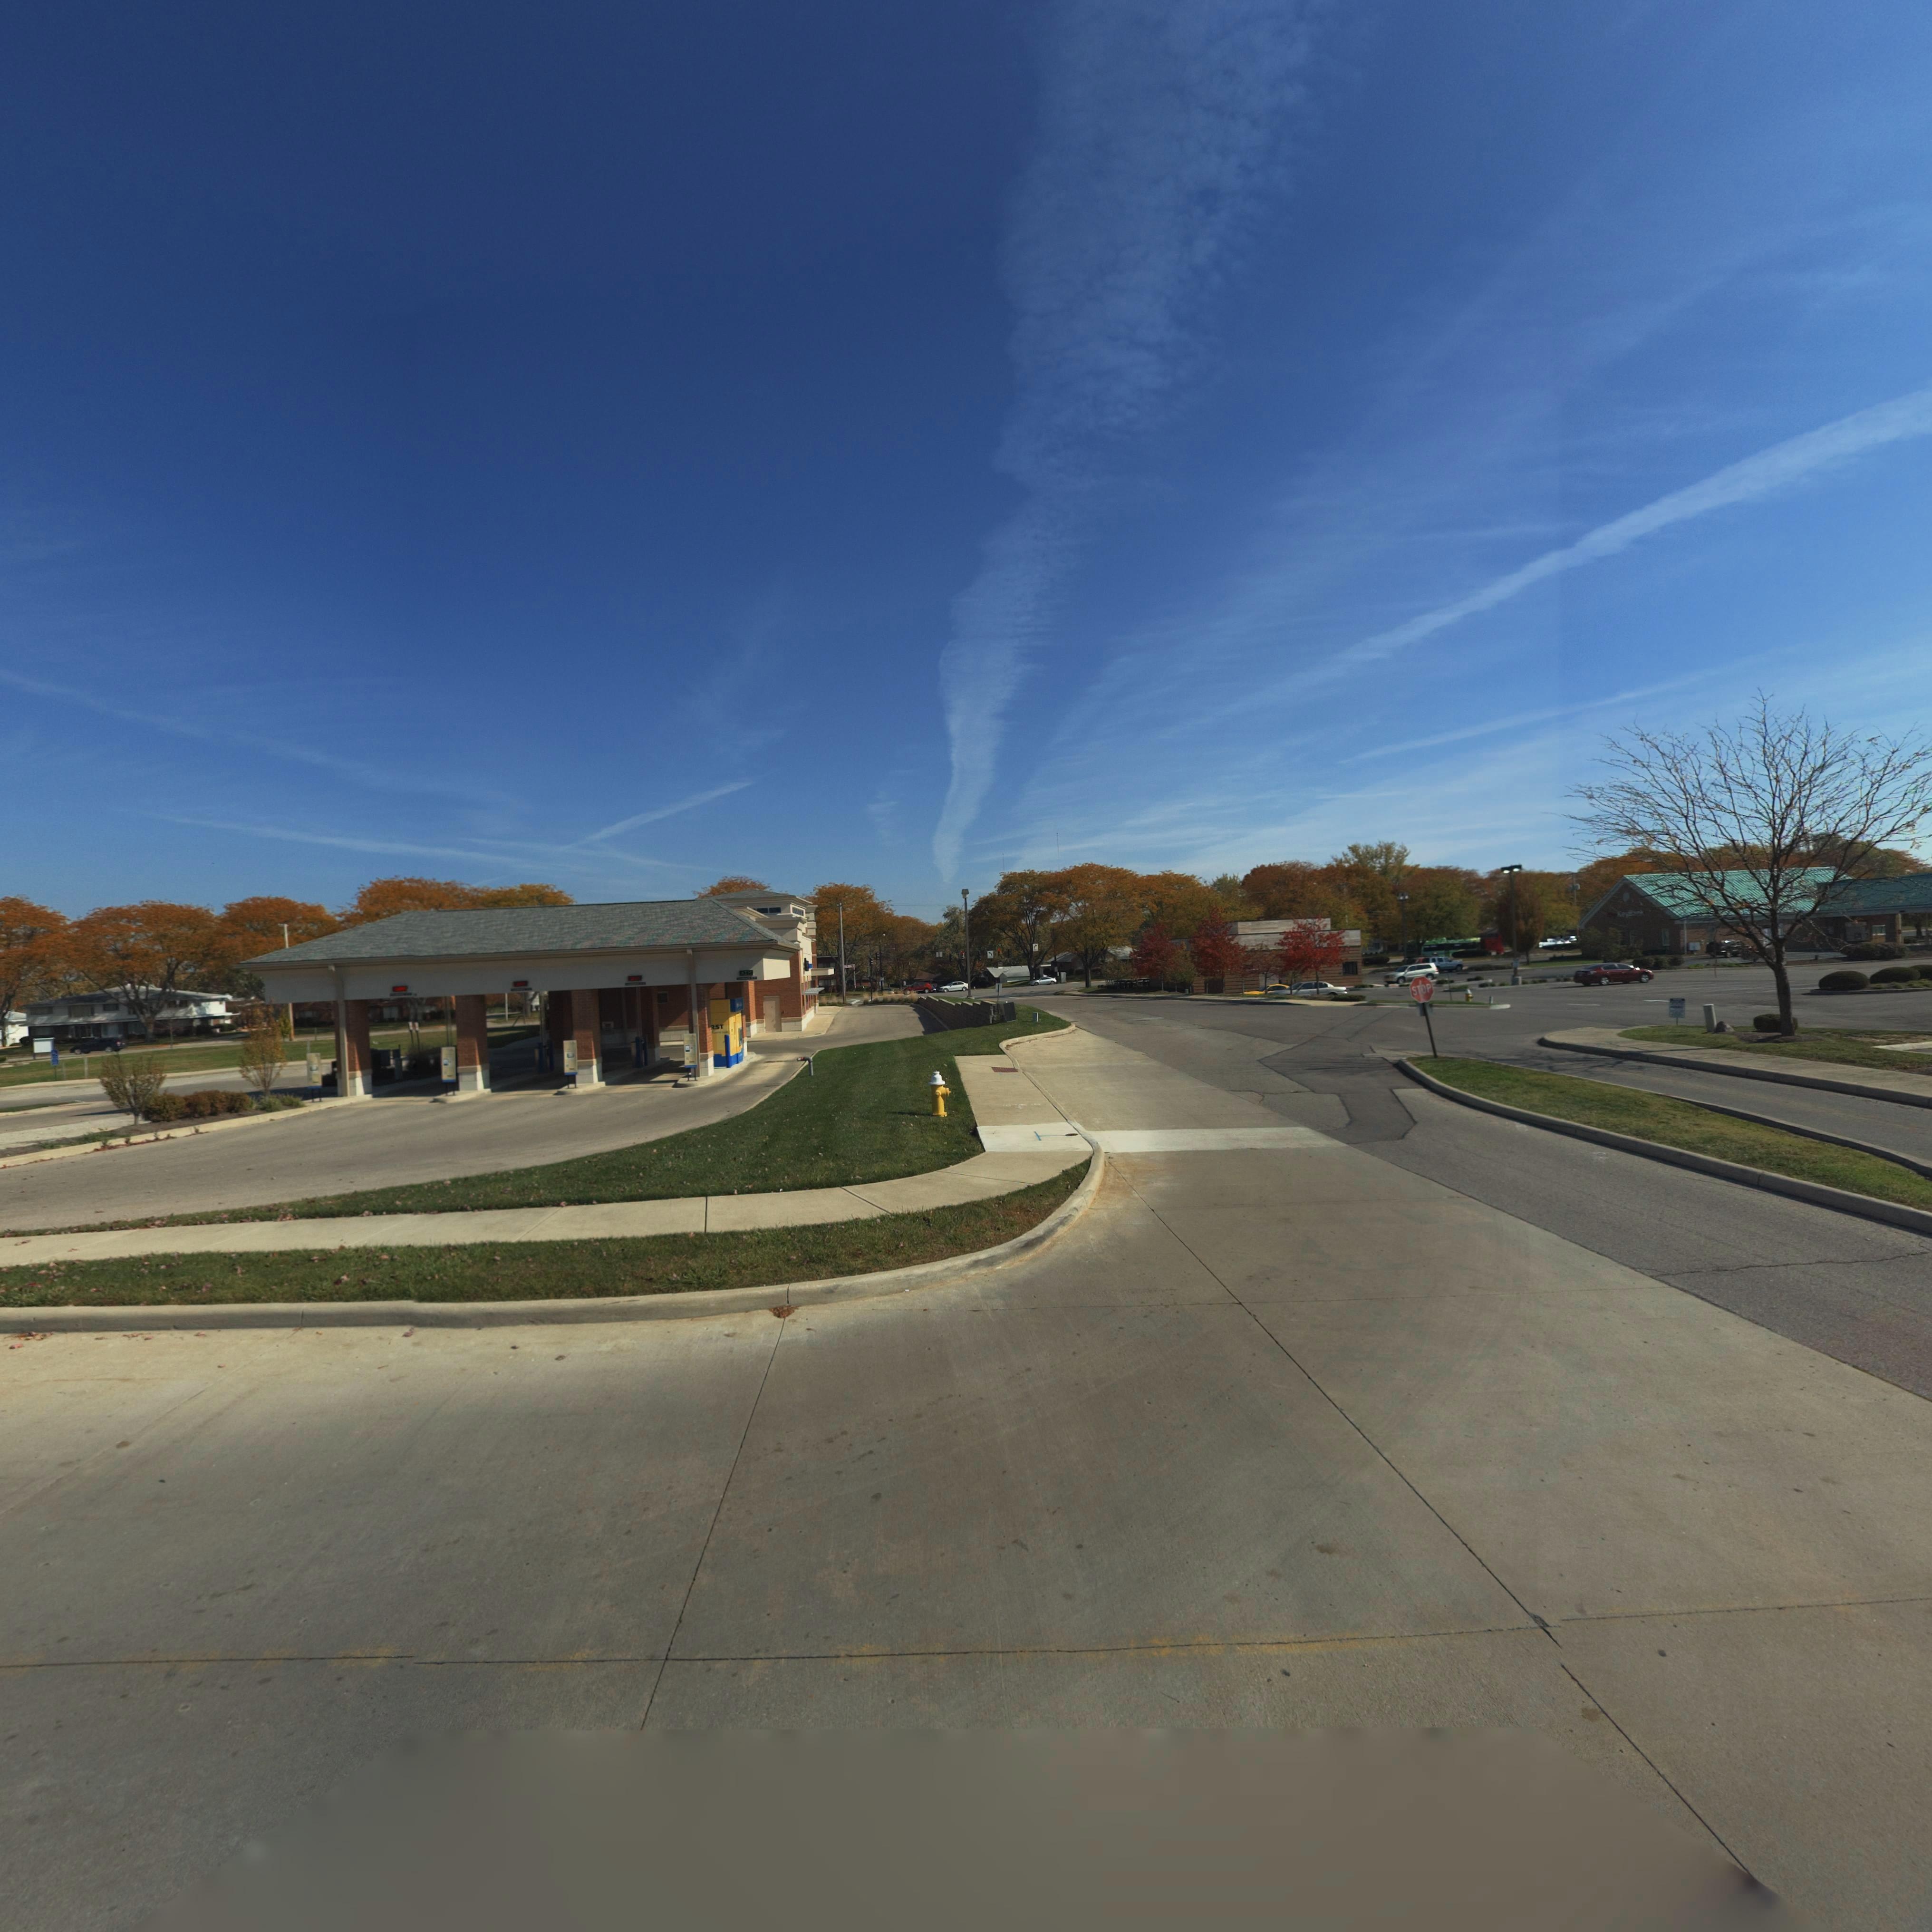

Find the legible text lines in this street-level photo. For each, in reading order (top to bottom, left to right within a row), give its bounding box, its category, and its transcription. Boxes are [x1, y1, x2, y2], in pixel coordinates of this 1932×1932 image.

[715, 1023, 724, 1030] BusinessName: ST